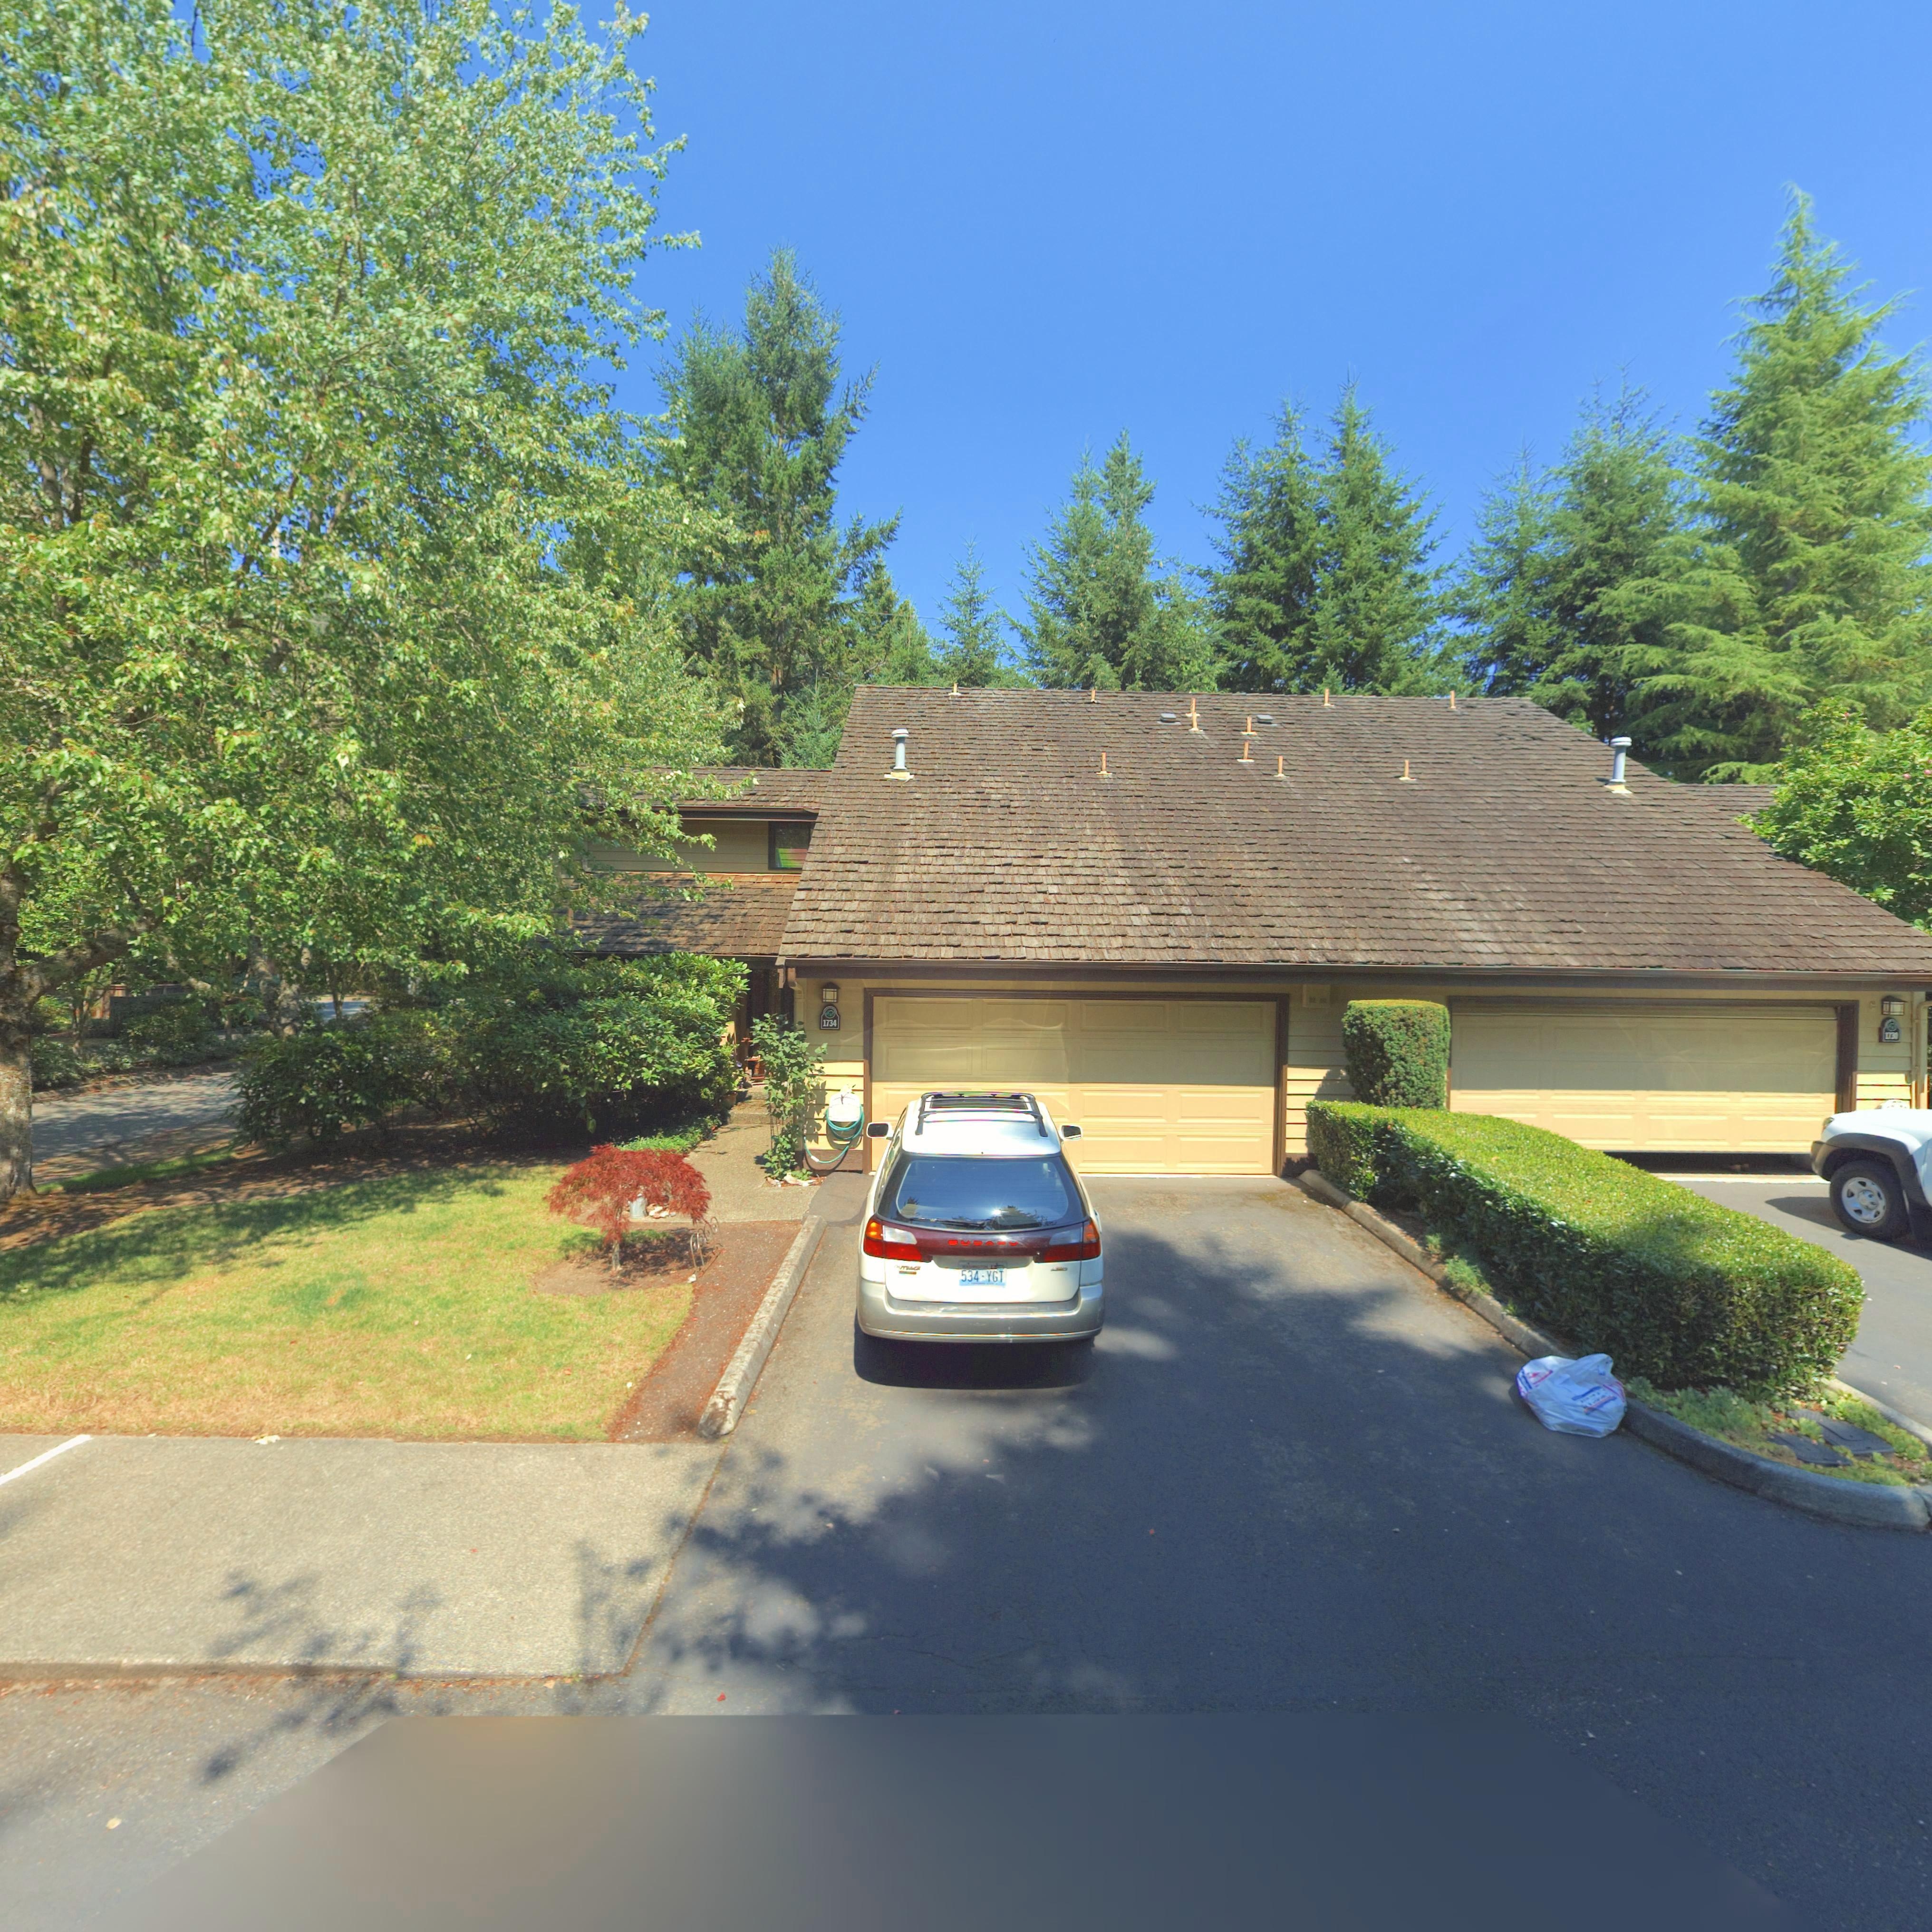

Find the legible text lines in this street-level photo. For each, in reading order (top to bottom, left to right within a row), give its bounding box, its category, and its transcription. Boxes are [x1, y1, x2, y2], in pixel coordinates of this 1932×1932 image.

[822, 1018, 837, 1028] StreetNumber: 1734